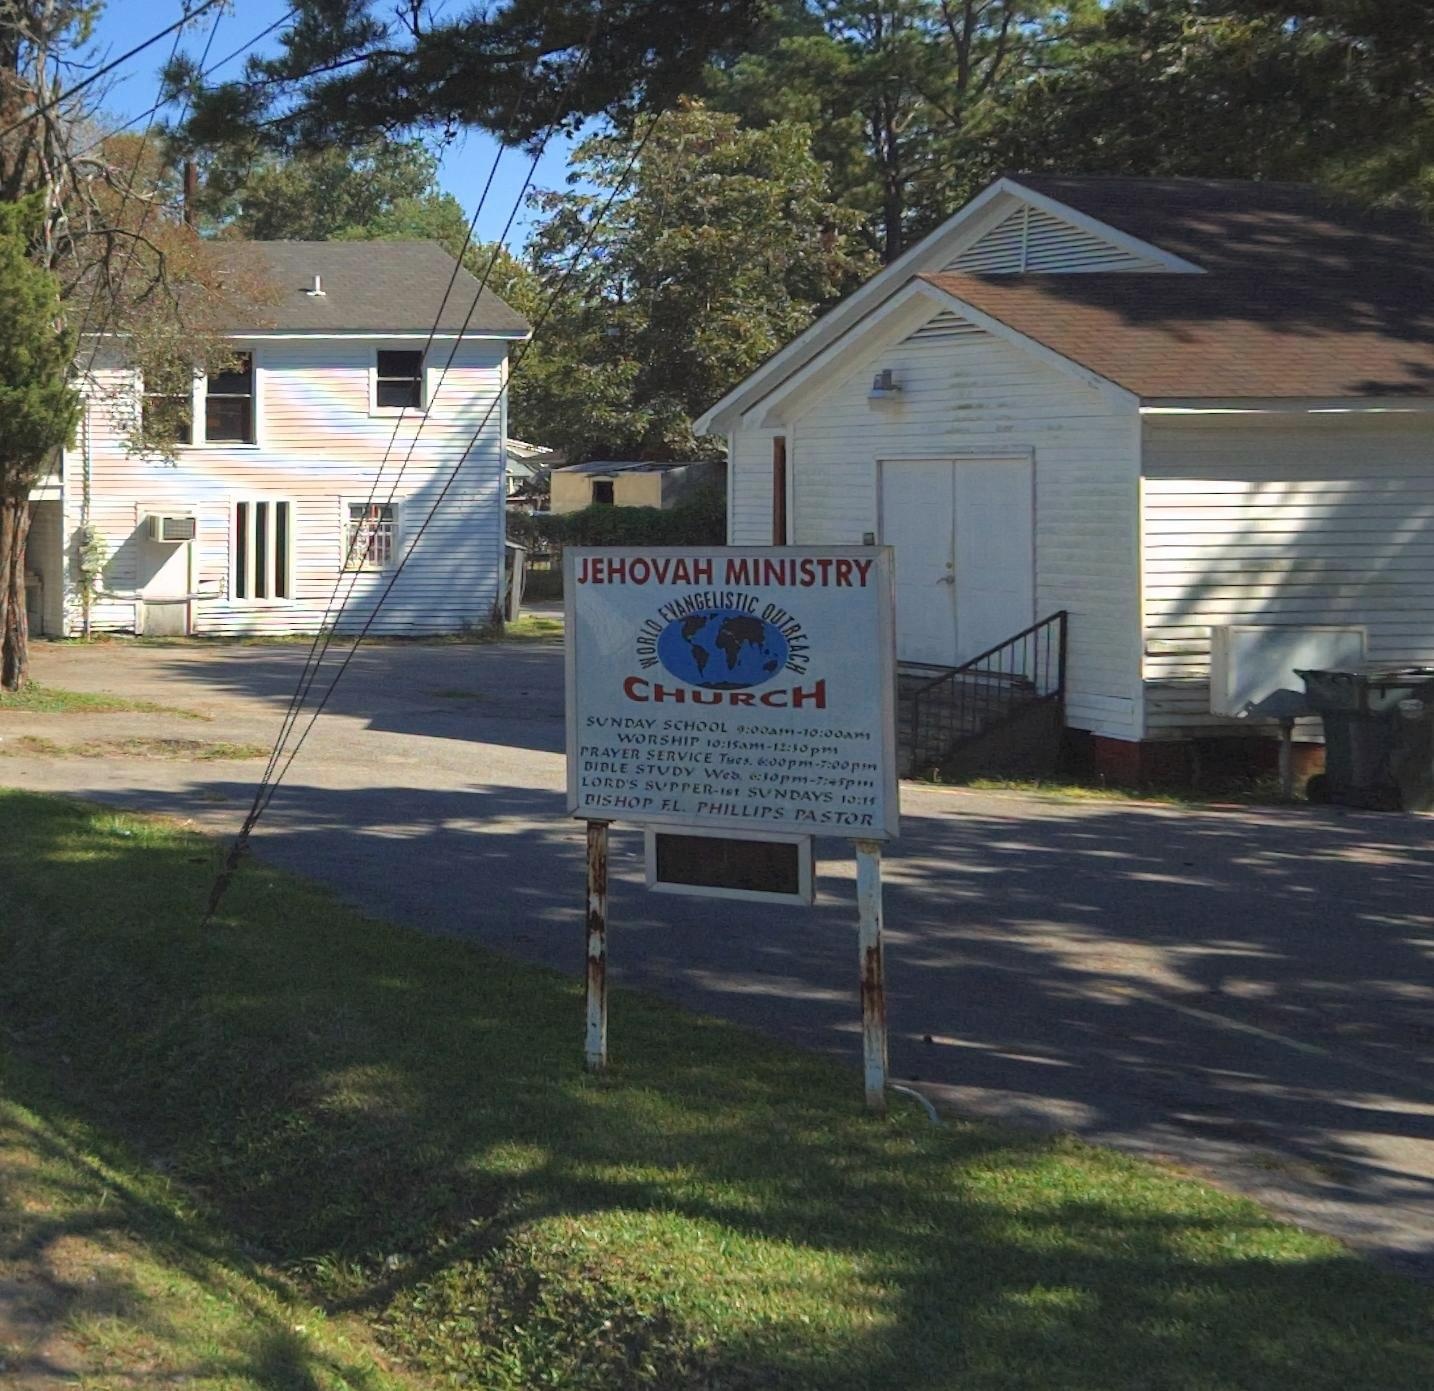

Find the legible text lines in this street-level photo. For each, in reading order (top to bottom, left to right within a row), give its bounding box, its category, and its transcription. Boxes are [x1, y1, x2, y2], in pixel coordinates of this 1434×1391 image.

[574, 551, 883, 591] BusinessName: JEHOVAH MINISTRY
[634, 587, 814, 676] None: WORLD EVANGELISTIC OUTREACH
[619, 671, 828, 713] BusinessName: CHURCH
[615, 729, 840, 759] None: WORSHIP 10:15am-12:30pm
[579, 743, 879, 776] None: PRAYER SERVICE Tues. 6:00pm-7:00pm
[579, 773, 879, 809] None: LORD'S SUPPER*1ST SUNDAYS 10:15
[581, 789, 878, 828] None: BISHOP F.L. PHILLIPS PASTOR
[584, 711, 876, 745] None: SUNDAY SCHOOL 9:00am-10:00am
[582, 758, 878, 794] None: BIBLE STUDY Wed. 6:30PM-7:45pm